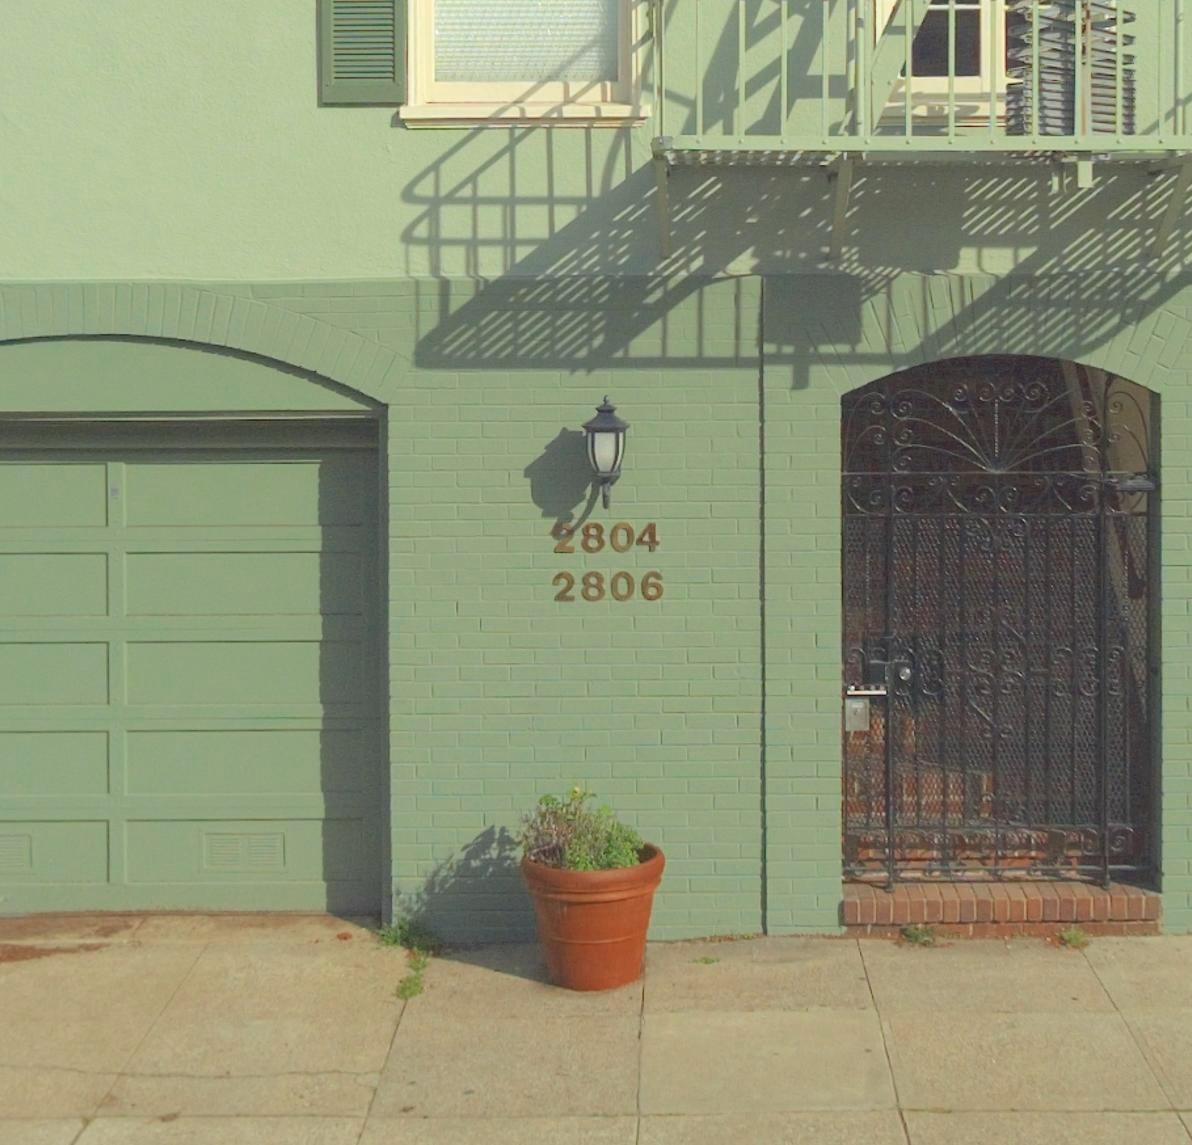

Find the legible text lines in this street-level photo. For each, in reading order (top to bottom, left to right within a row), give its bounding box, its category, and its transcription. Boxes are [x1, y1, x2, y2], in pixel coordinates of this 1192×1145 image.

[549, 520, 662, 555] StreetNumber: 2804
[548, 568, 668, 605] StreetNumber: 2806